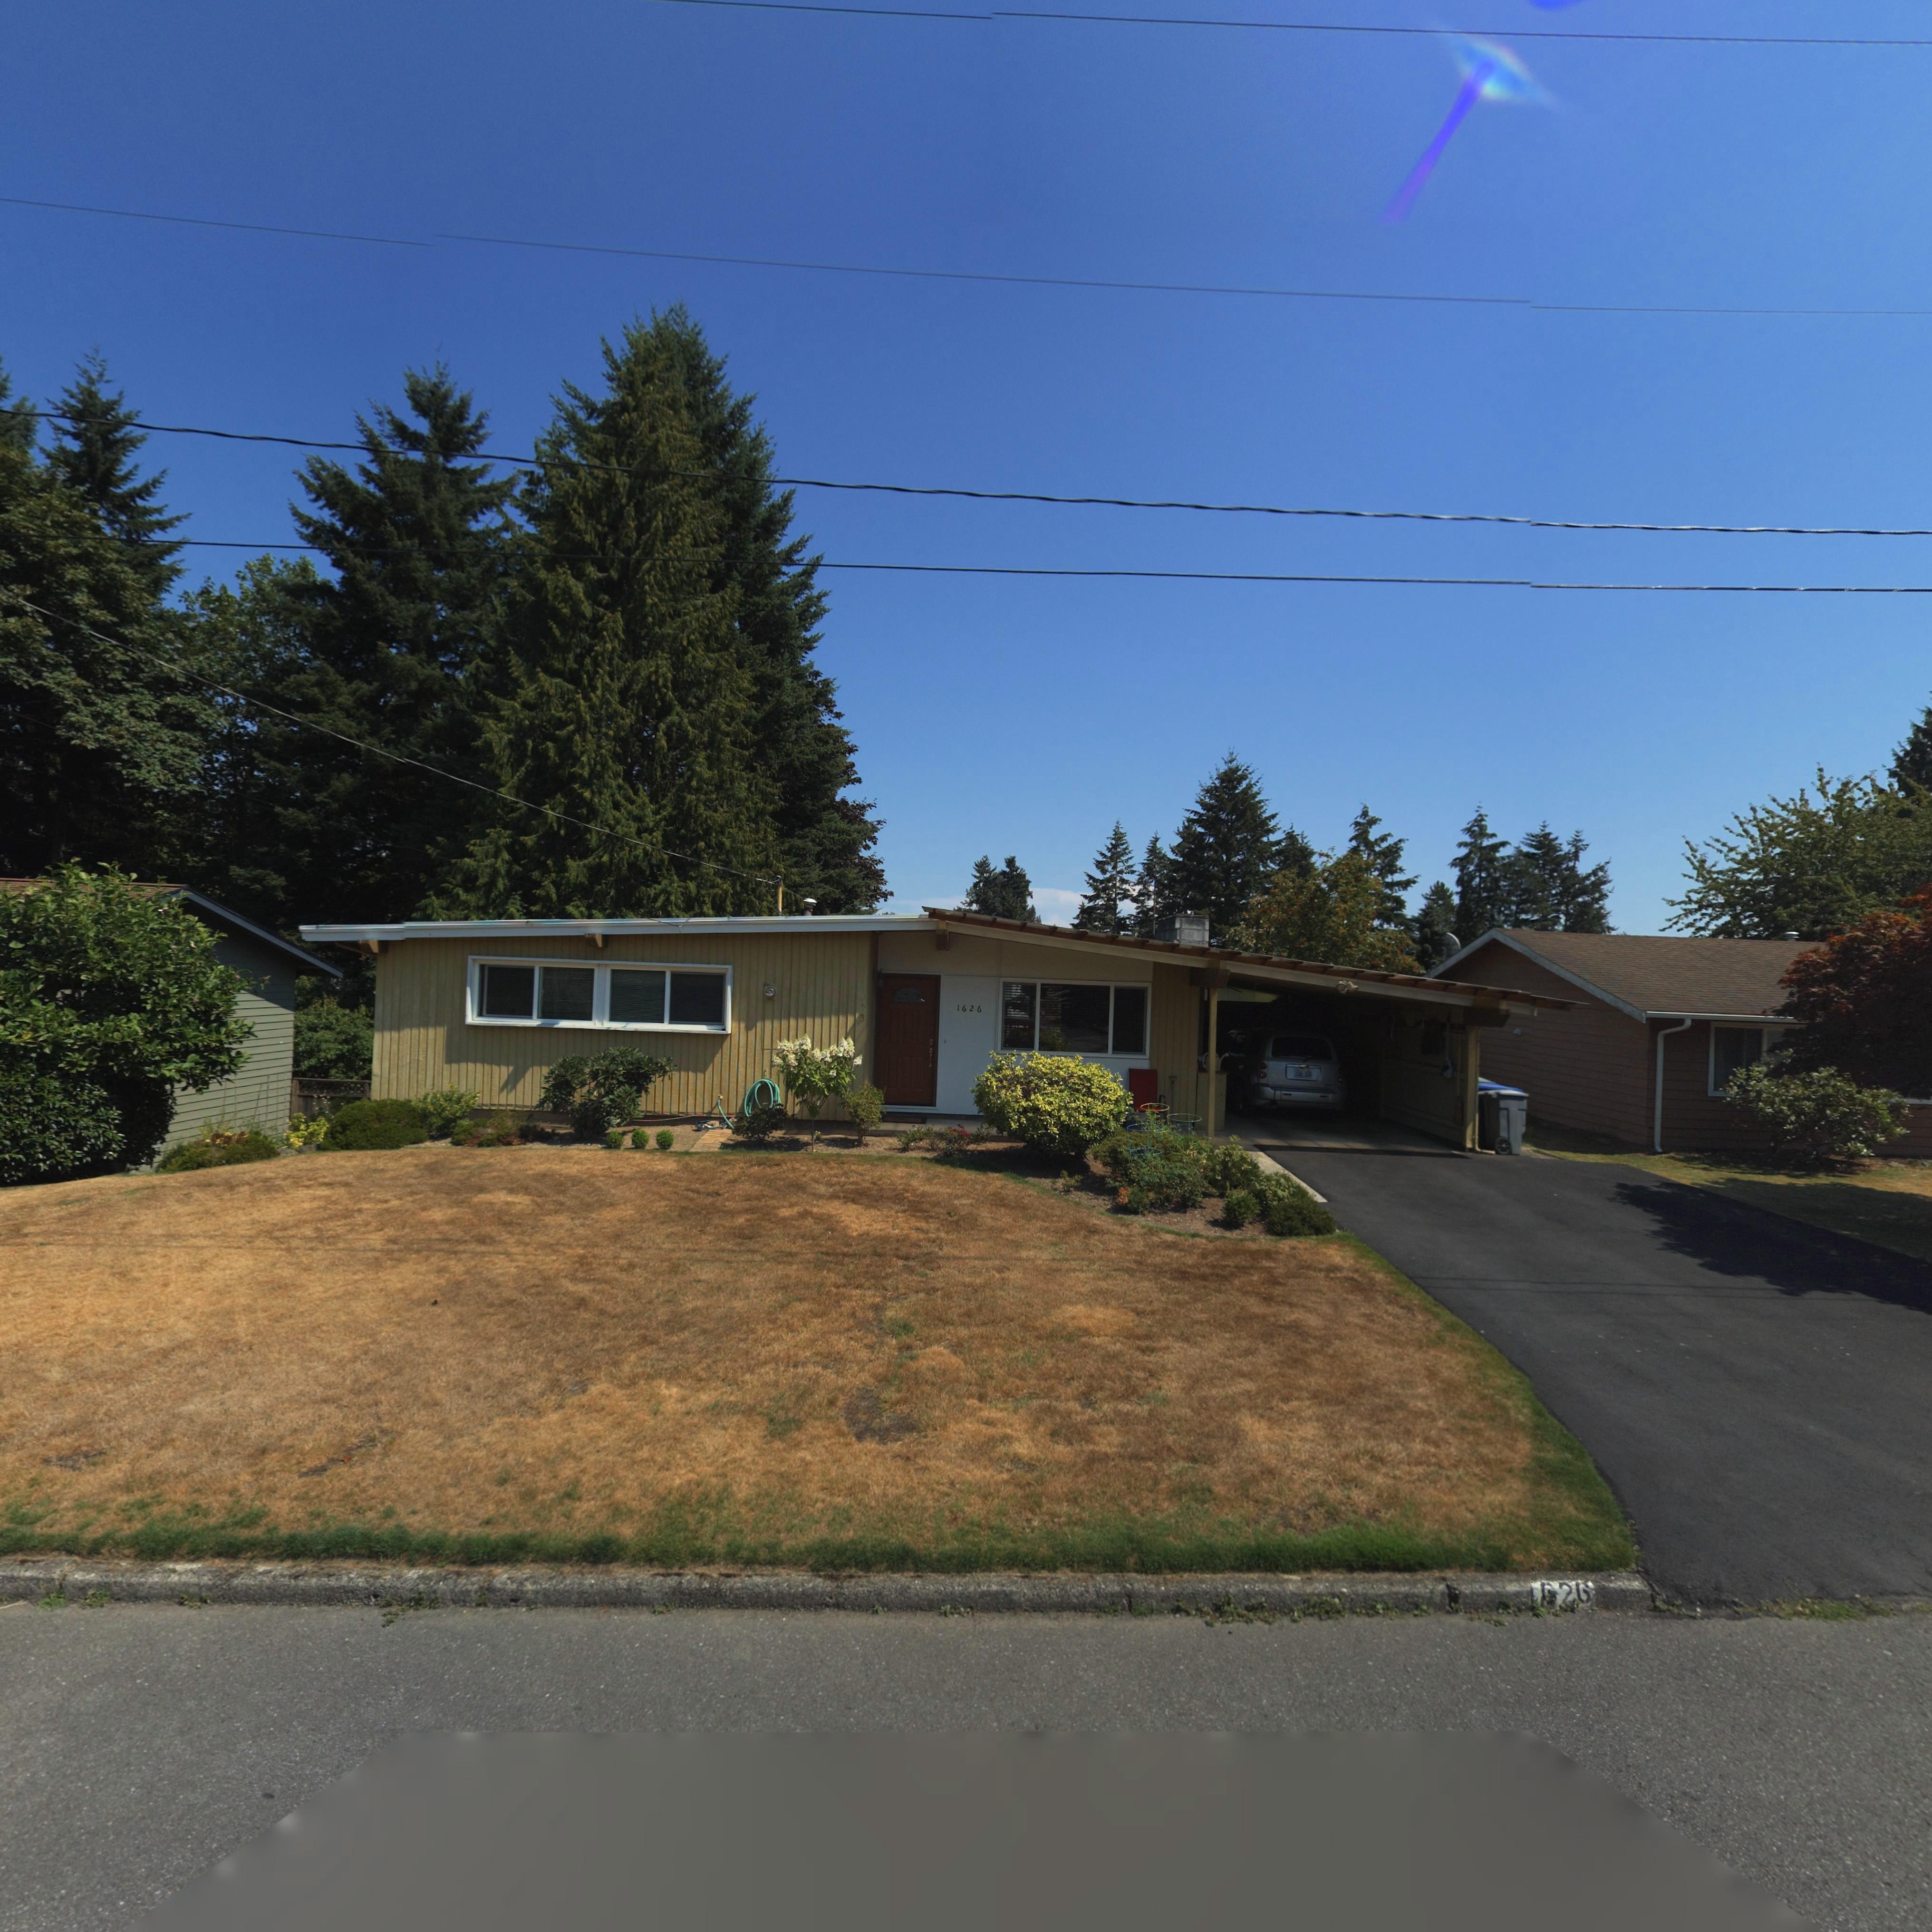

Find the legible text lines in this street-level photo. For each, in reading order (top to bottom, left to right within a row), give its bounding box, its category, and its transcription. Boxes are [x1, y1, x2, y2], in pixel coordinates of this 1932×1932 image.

[955, 1004, 982, 1013] StreetNumber: 1626